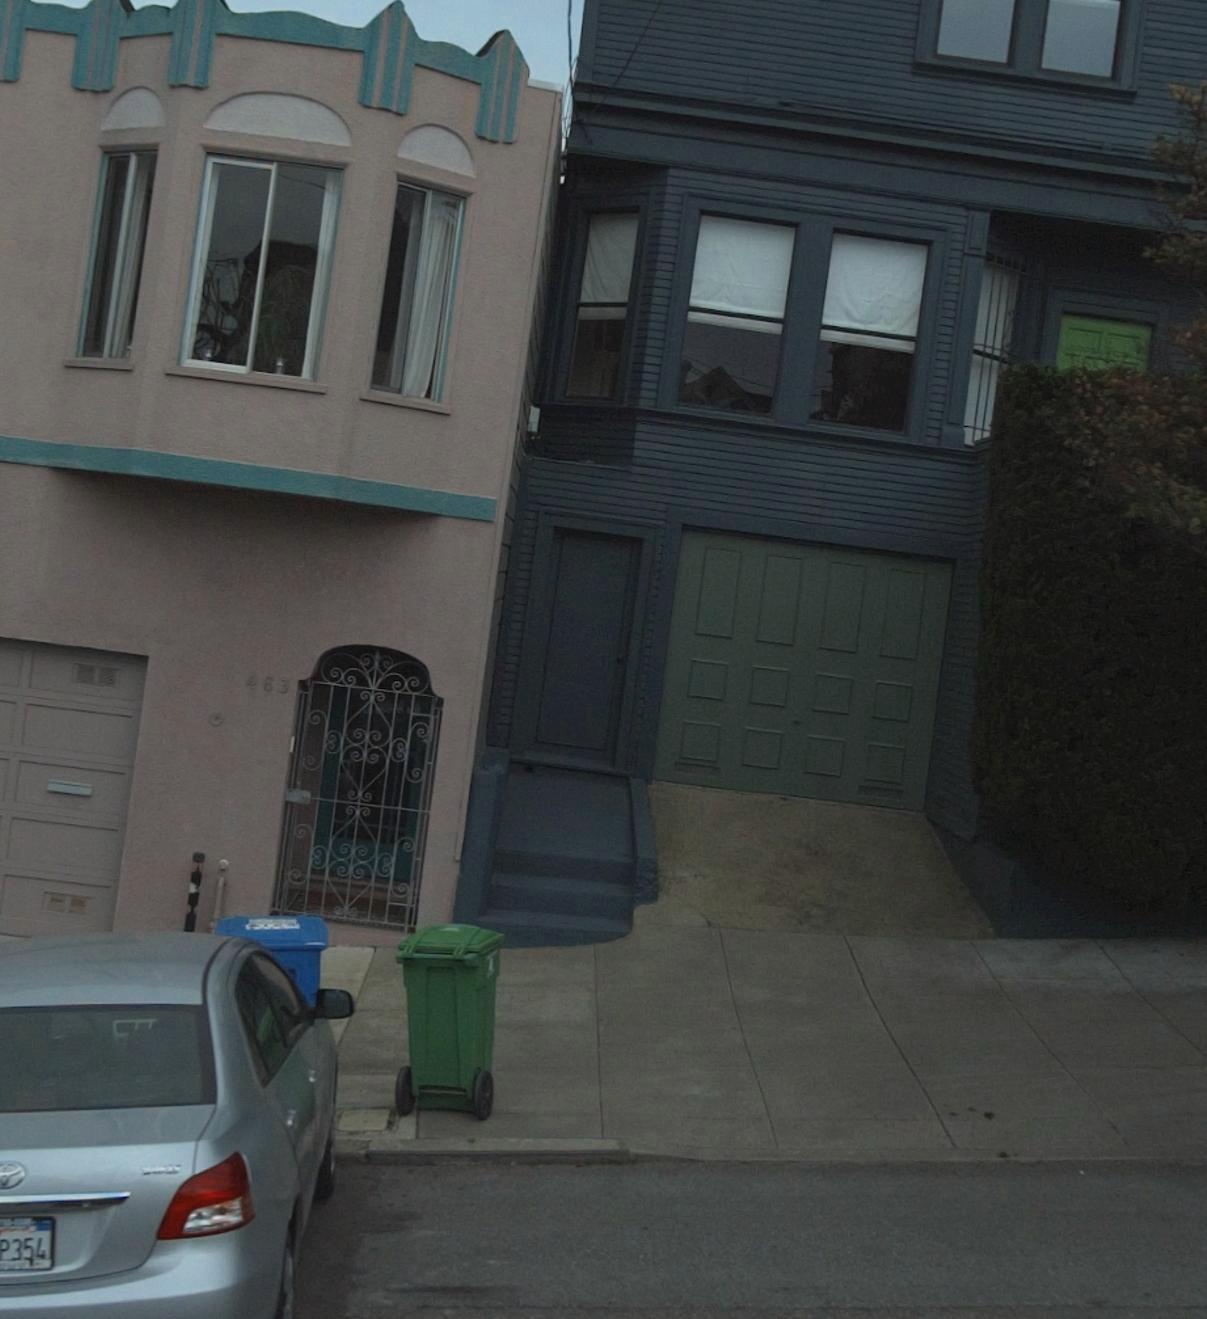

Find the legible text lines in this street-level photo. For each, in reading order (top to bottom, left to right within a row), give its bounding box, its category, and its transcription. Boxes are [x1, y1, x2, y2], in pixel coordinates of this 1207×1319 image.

[245, 674, 290, 695] StreetNumber: 463
[0, 1235, 47, 1261] None: P354